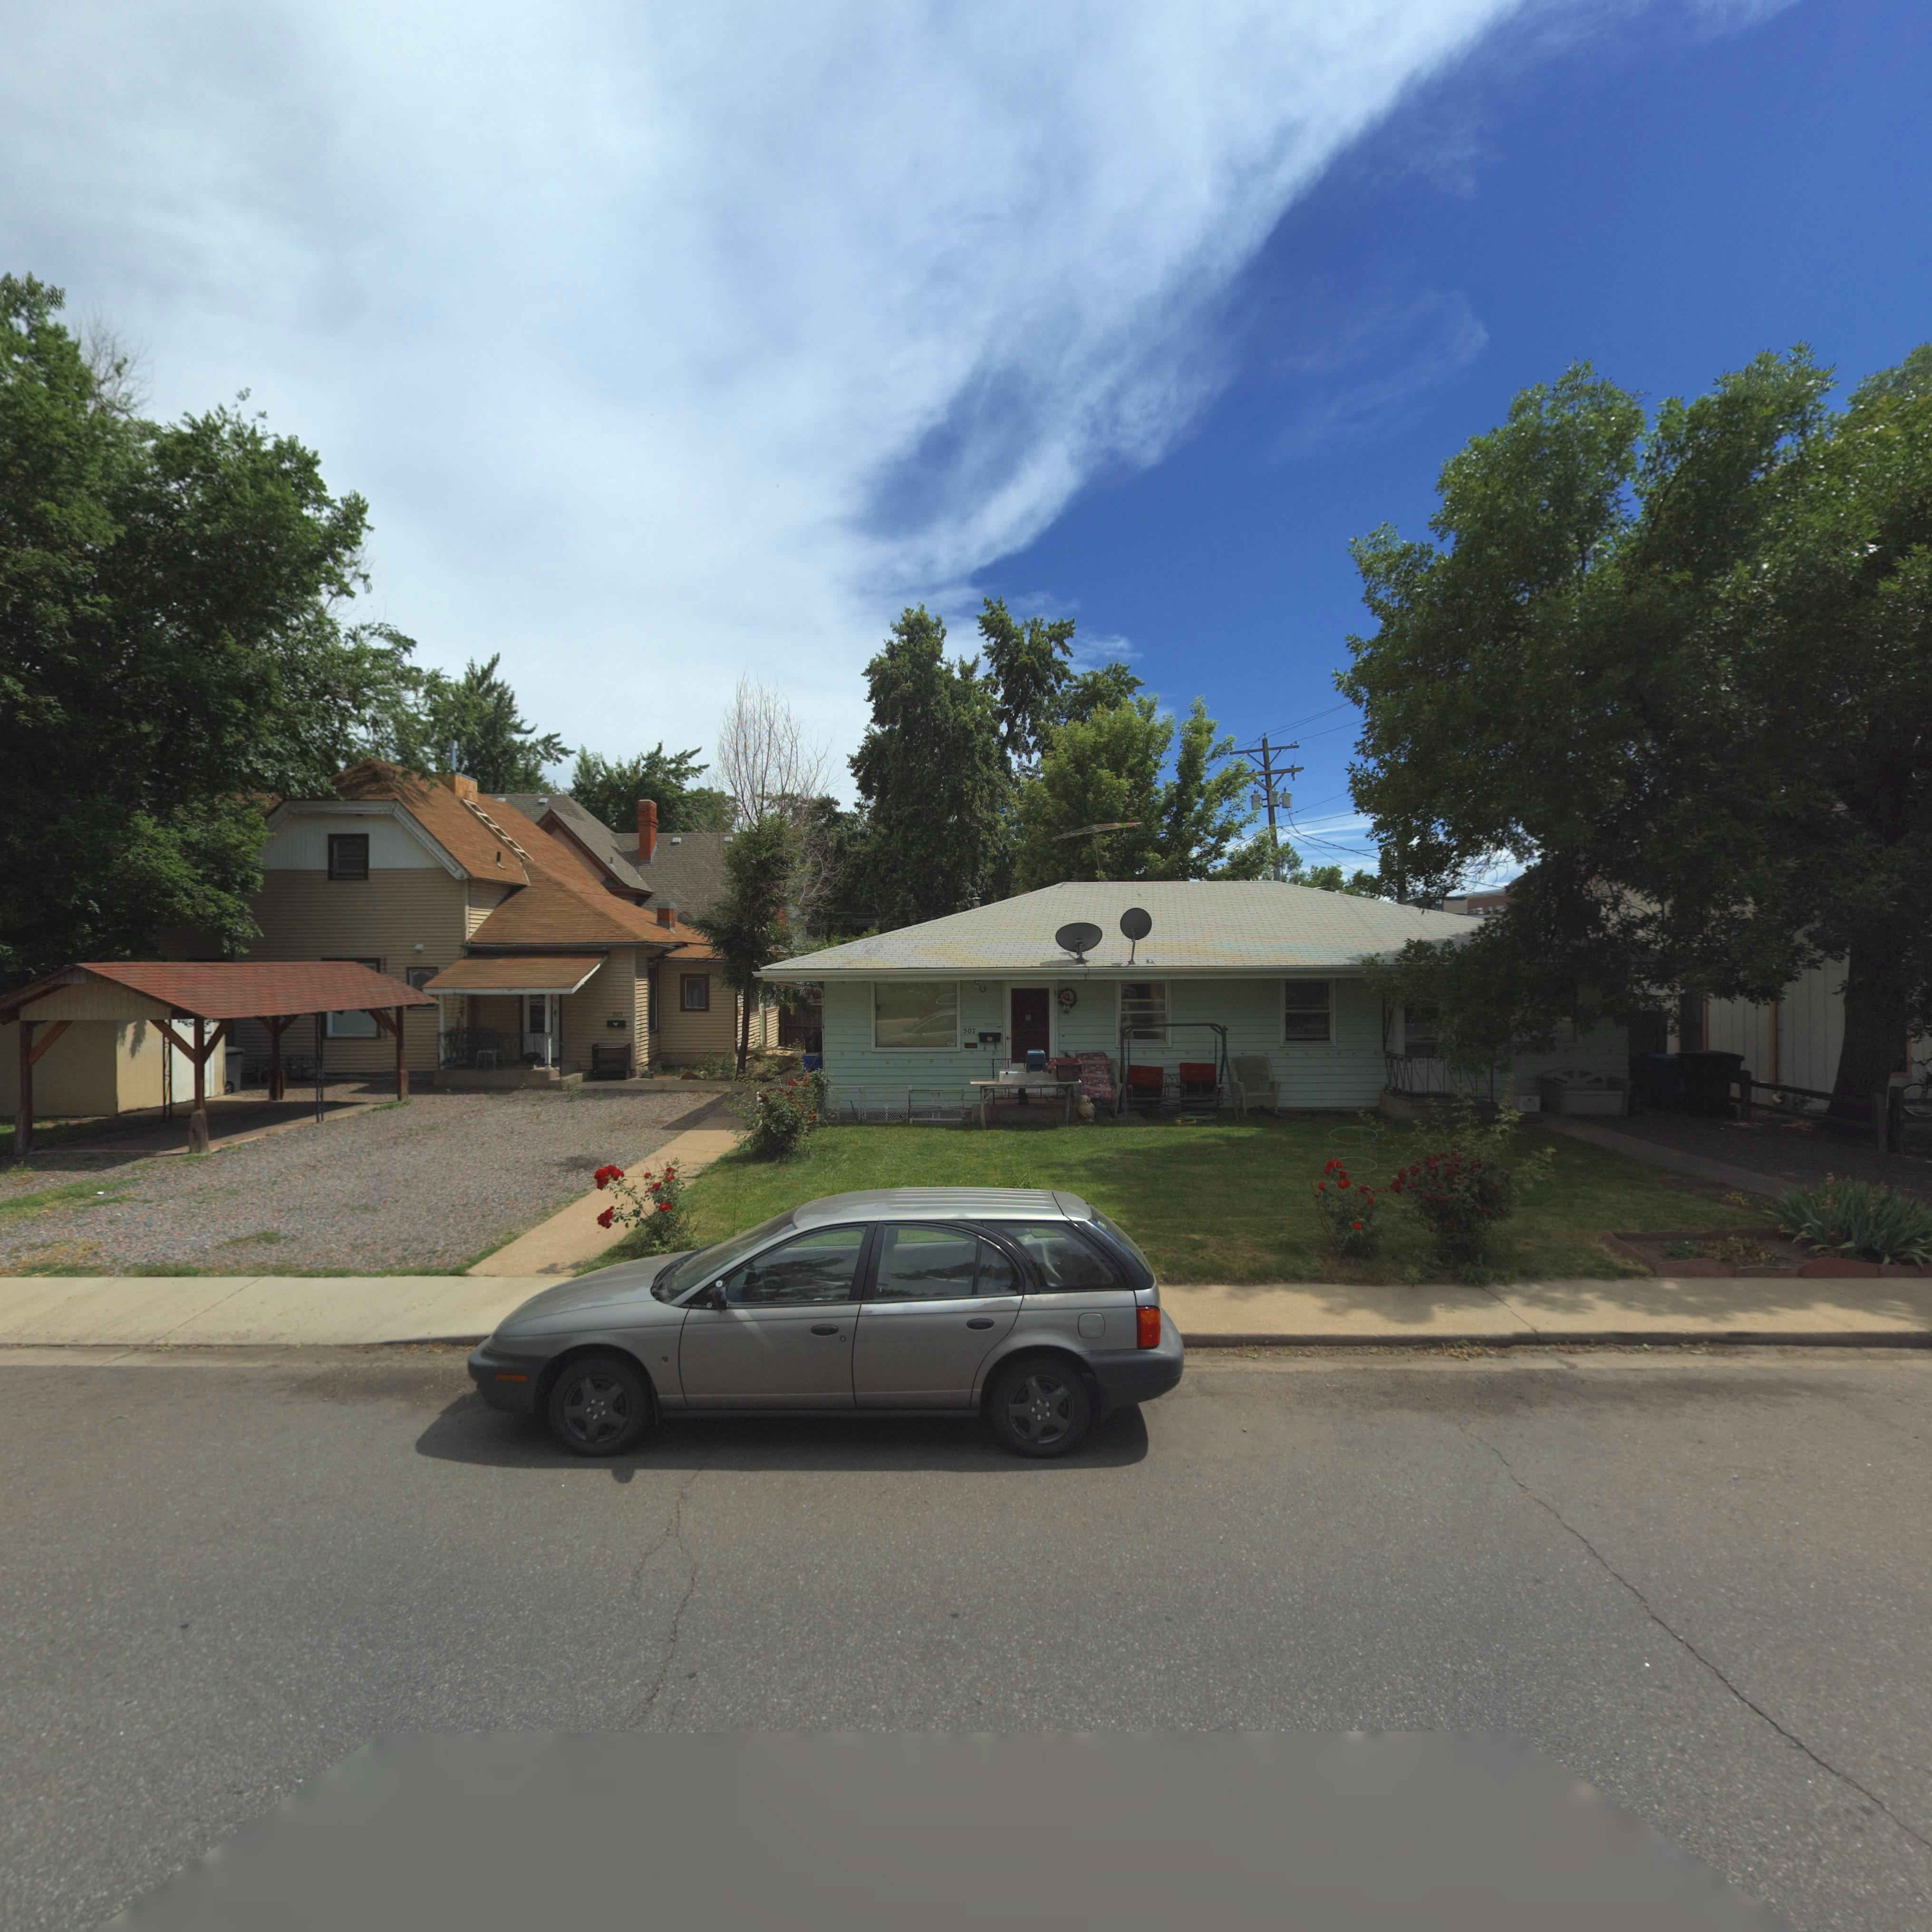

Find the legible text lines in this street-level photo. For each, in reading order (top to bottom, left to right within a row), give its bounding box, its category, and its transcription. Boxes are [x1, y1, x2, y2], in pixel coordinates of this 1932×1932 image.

[612, 1011, 623, 1017] StreetNumber: 503
[963, 1027, 976, 1034] StreetNumber: 507